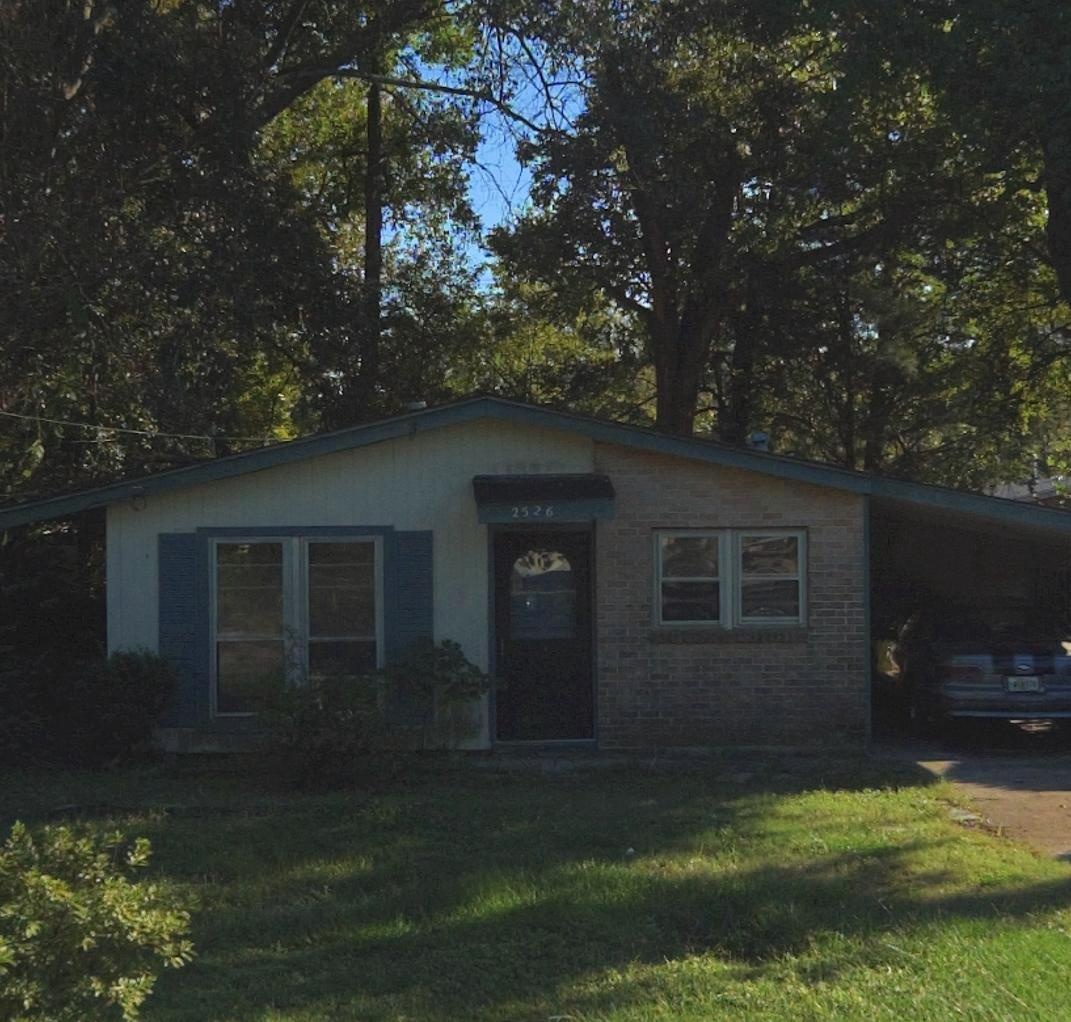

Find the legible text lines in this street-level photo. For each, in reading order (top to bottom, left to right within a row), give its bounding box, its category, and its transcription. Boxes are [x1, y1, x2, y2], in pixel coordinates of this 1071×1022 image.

[510, 504, 555, 519] StreetNumber: 2526